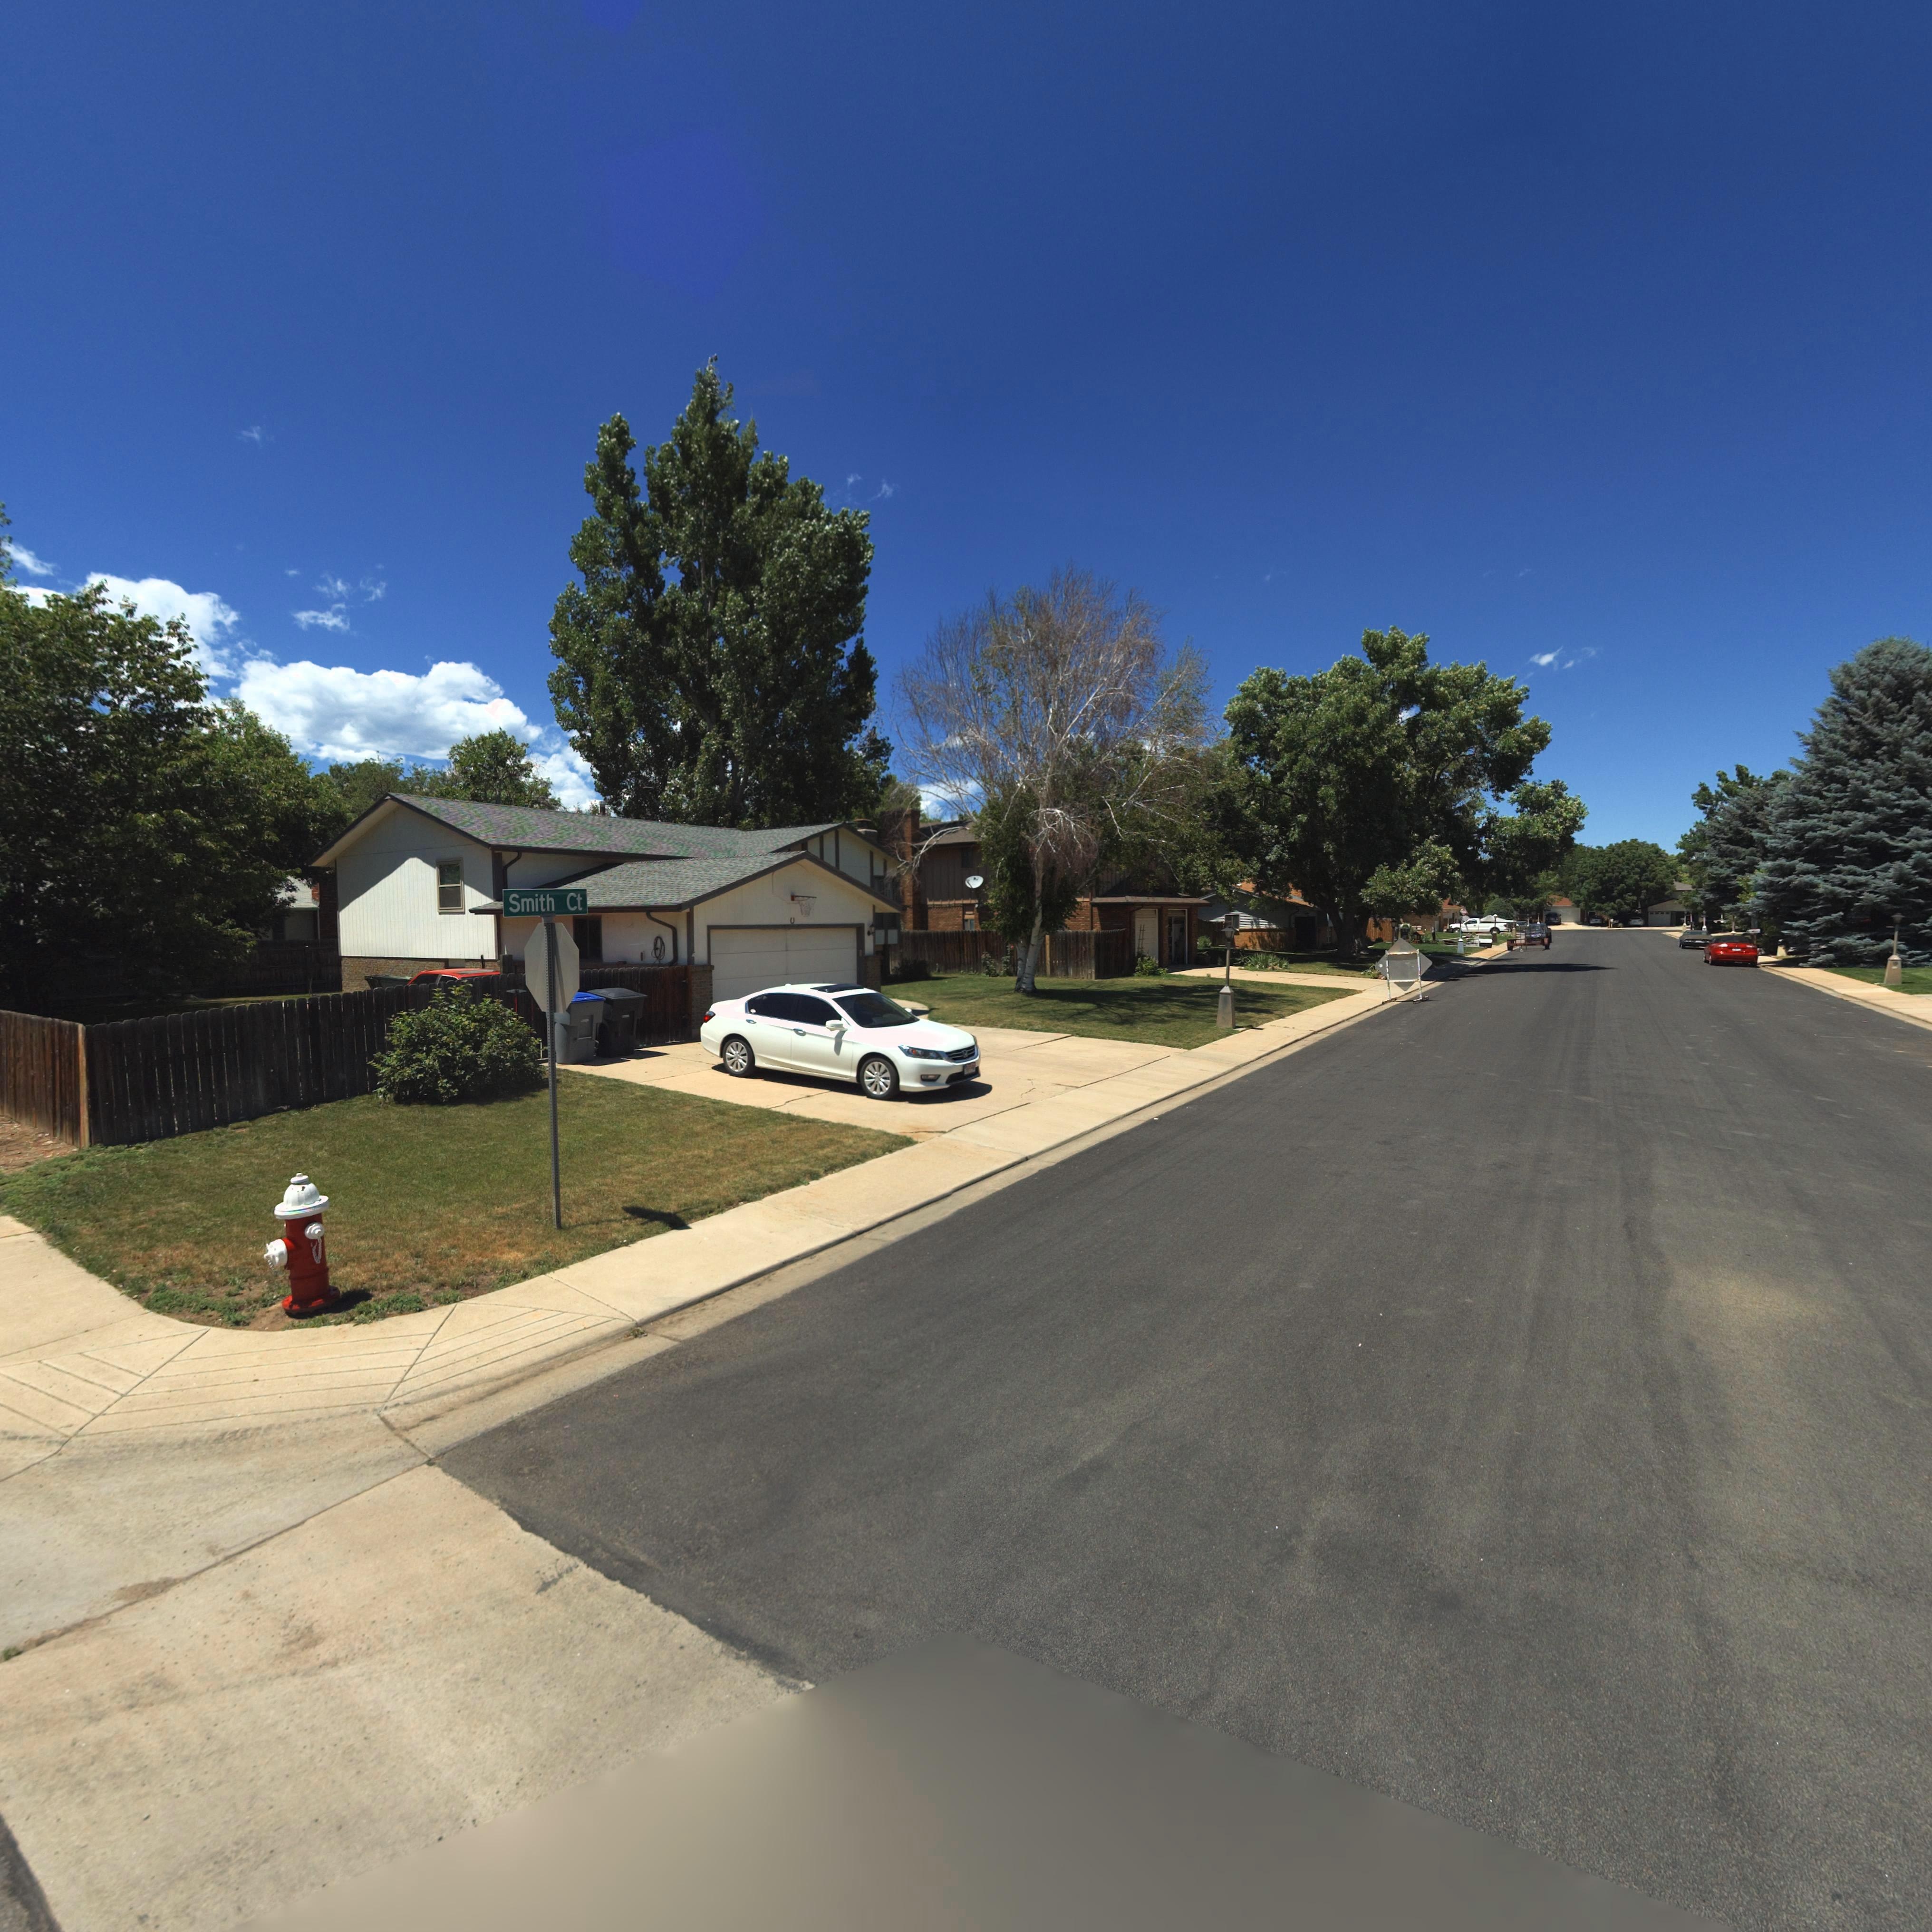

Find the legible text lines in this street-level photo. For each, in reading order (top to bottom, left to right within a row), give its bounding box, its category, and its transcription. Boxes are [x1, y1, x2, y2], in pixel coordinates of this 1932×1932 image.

[508, 892, 583, 913] StreetName: Smith Ct